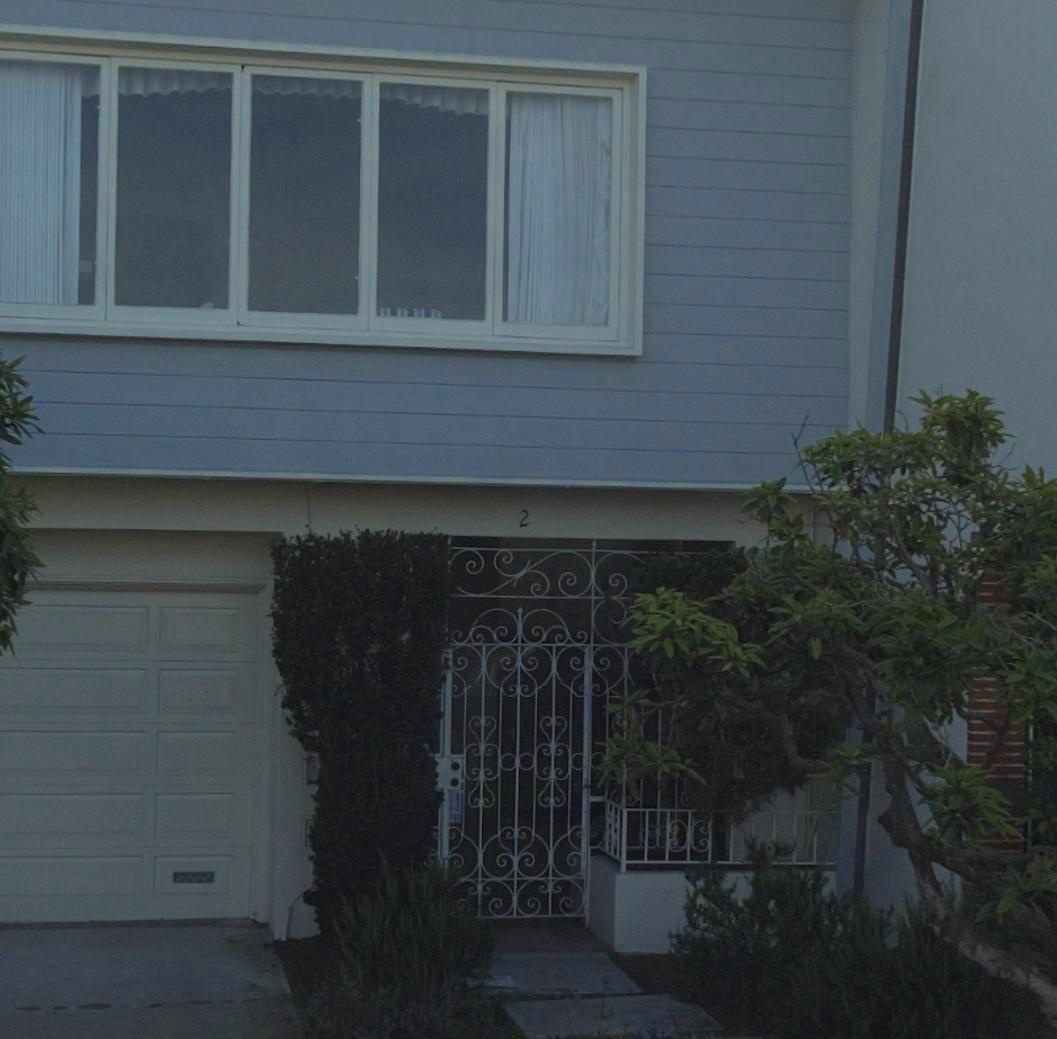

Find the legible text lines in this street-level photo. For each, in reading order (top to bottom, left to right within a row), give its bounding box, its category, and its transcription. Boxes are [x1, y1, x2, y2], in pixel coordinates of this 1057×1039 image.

[517, 507, 531, 529] StreetNumber: 2